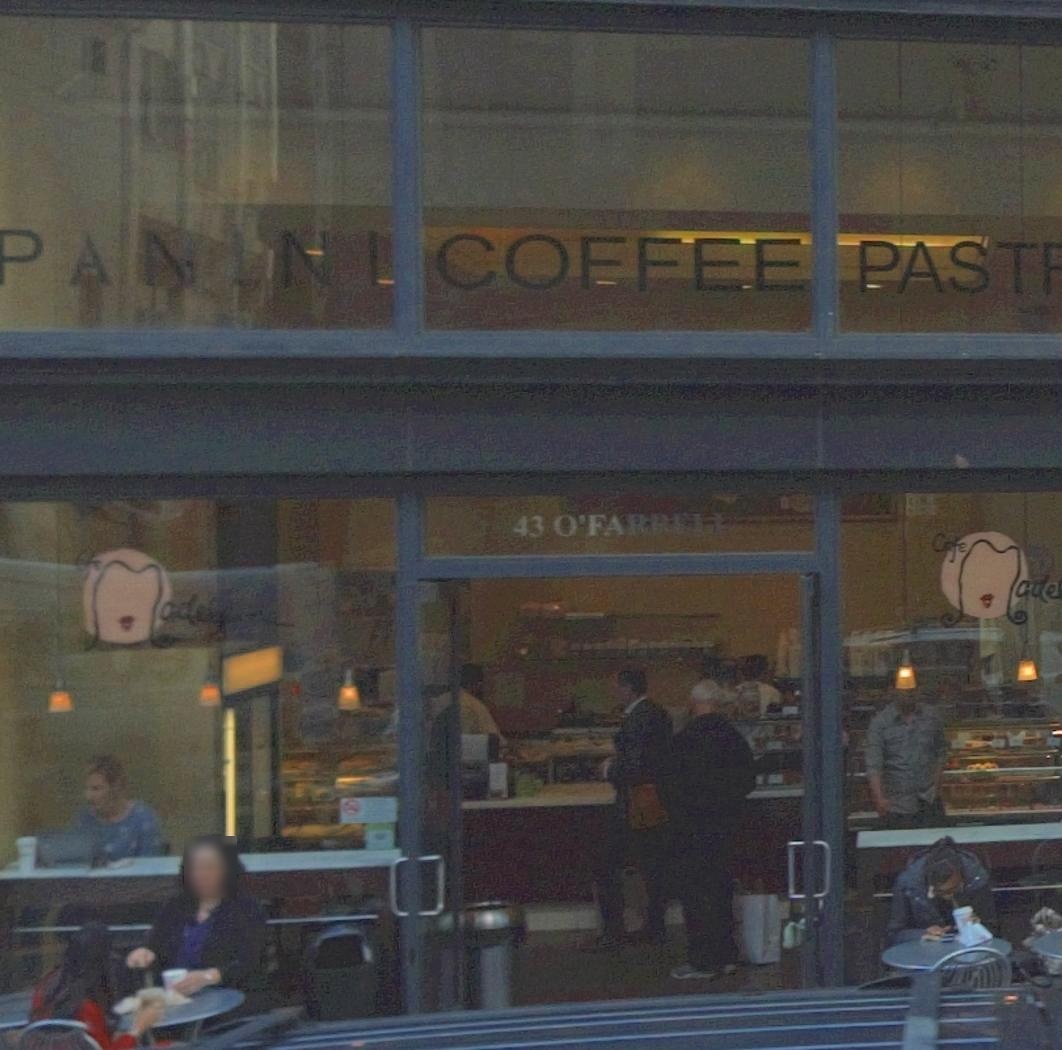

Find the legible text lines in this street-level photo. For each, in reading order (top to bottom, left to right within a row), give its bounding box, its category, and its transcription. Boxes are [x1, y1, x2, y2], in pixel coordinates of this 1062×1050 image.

[0, 224, 1047, 299] None: PANINI COFFEE PAST
[510, 512, 548, 541] StreetNumber: 43
[549, 508, 742, 542] StreetName: O'FARRELL
[927, 526, 973, 570] BusinessName: Cafe
[155, 587, 214, 629] BusinessName: ade
[1011, 567, 1062, 609] BusinessName: ade